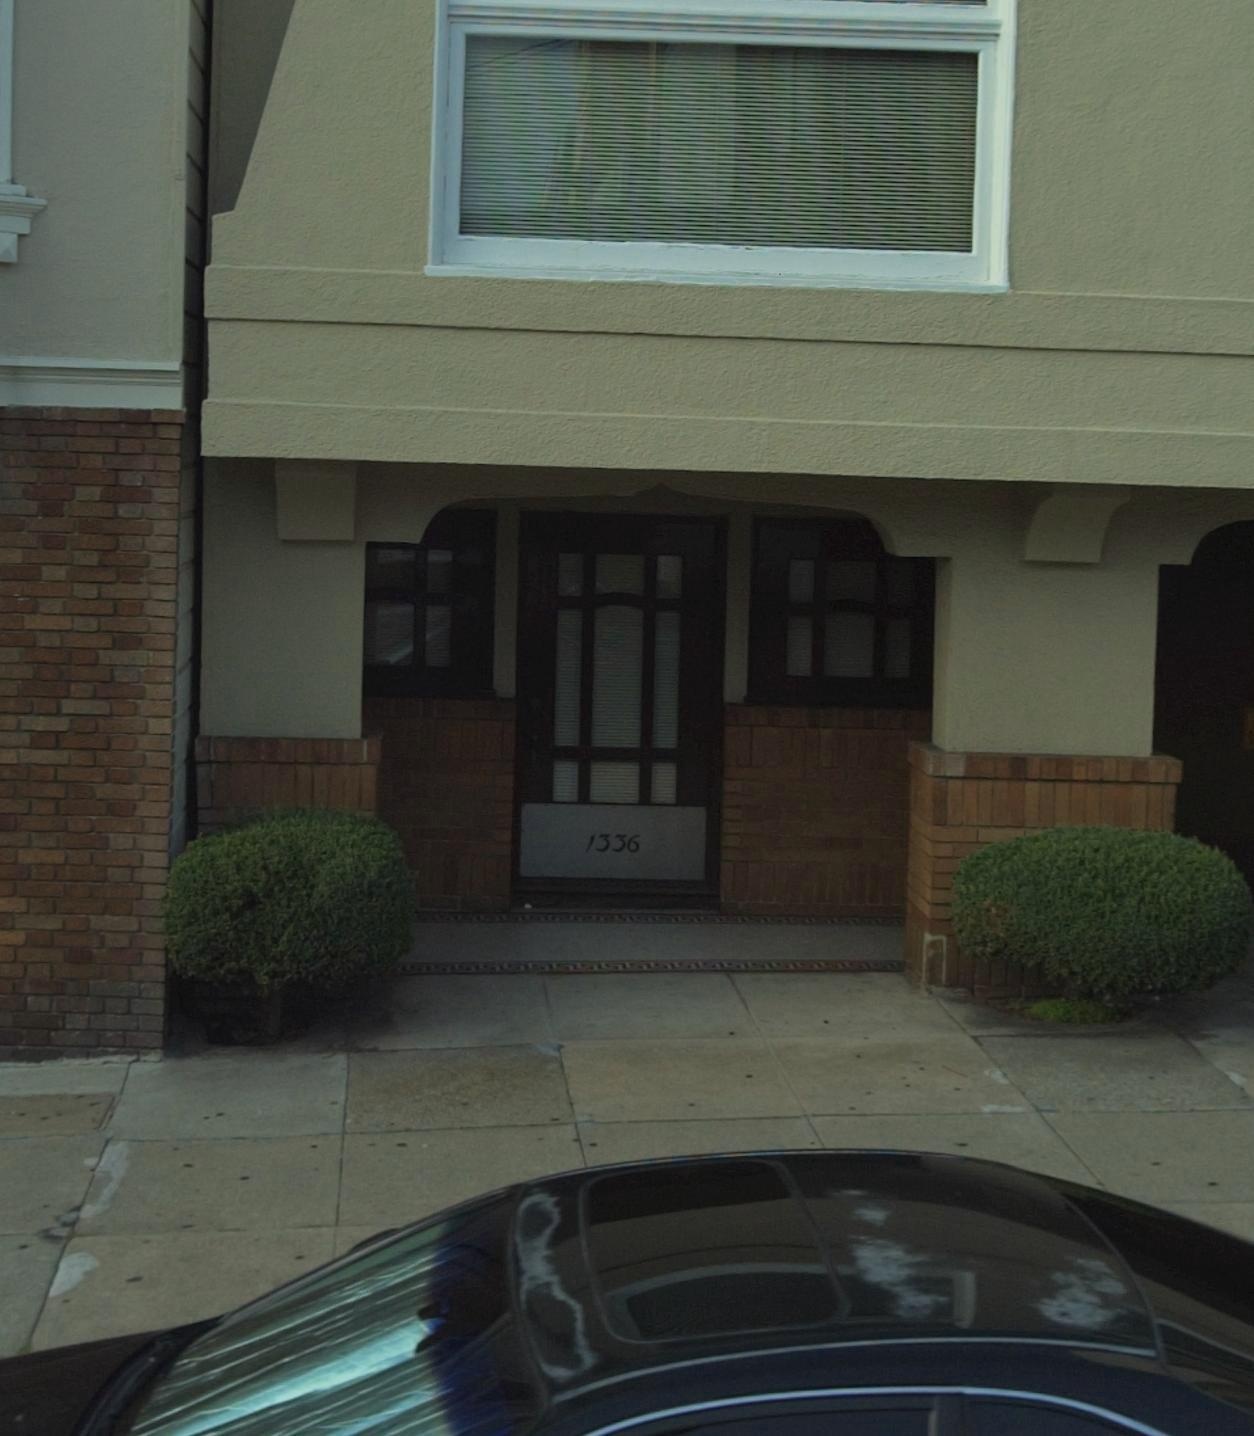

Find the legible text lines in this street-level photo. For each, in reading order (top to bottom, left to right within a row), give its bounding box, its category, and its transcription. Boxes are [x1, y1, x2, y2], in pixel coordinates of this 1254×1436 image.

[581, 830, 643, 856] StreetNumber: 1336